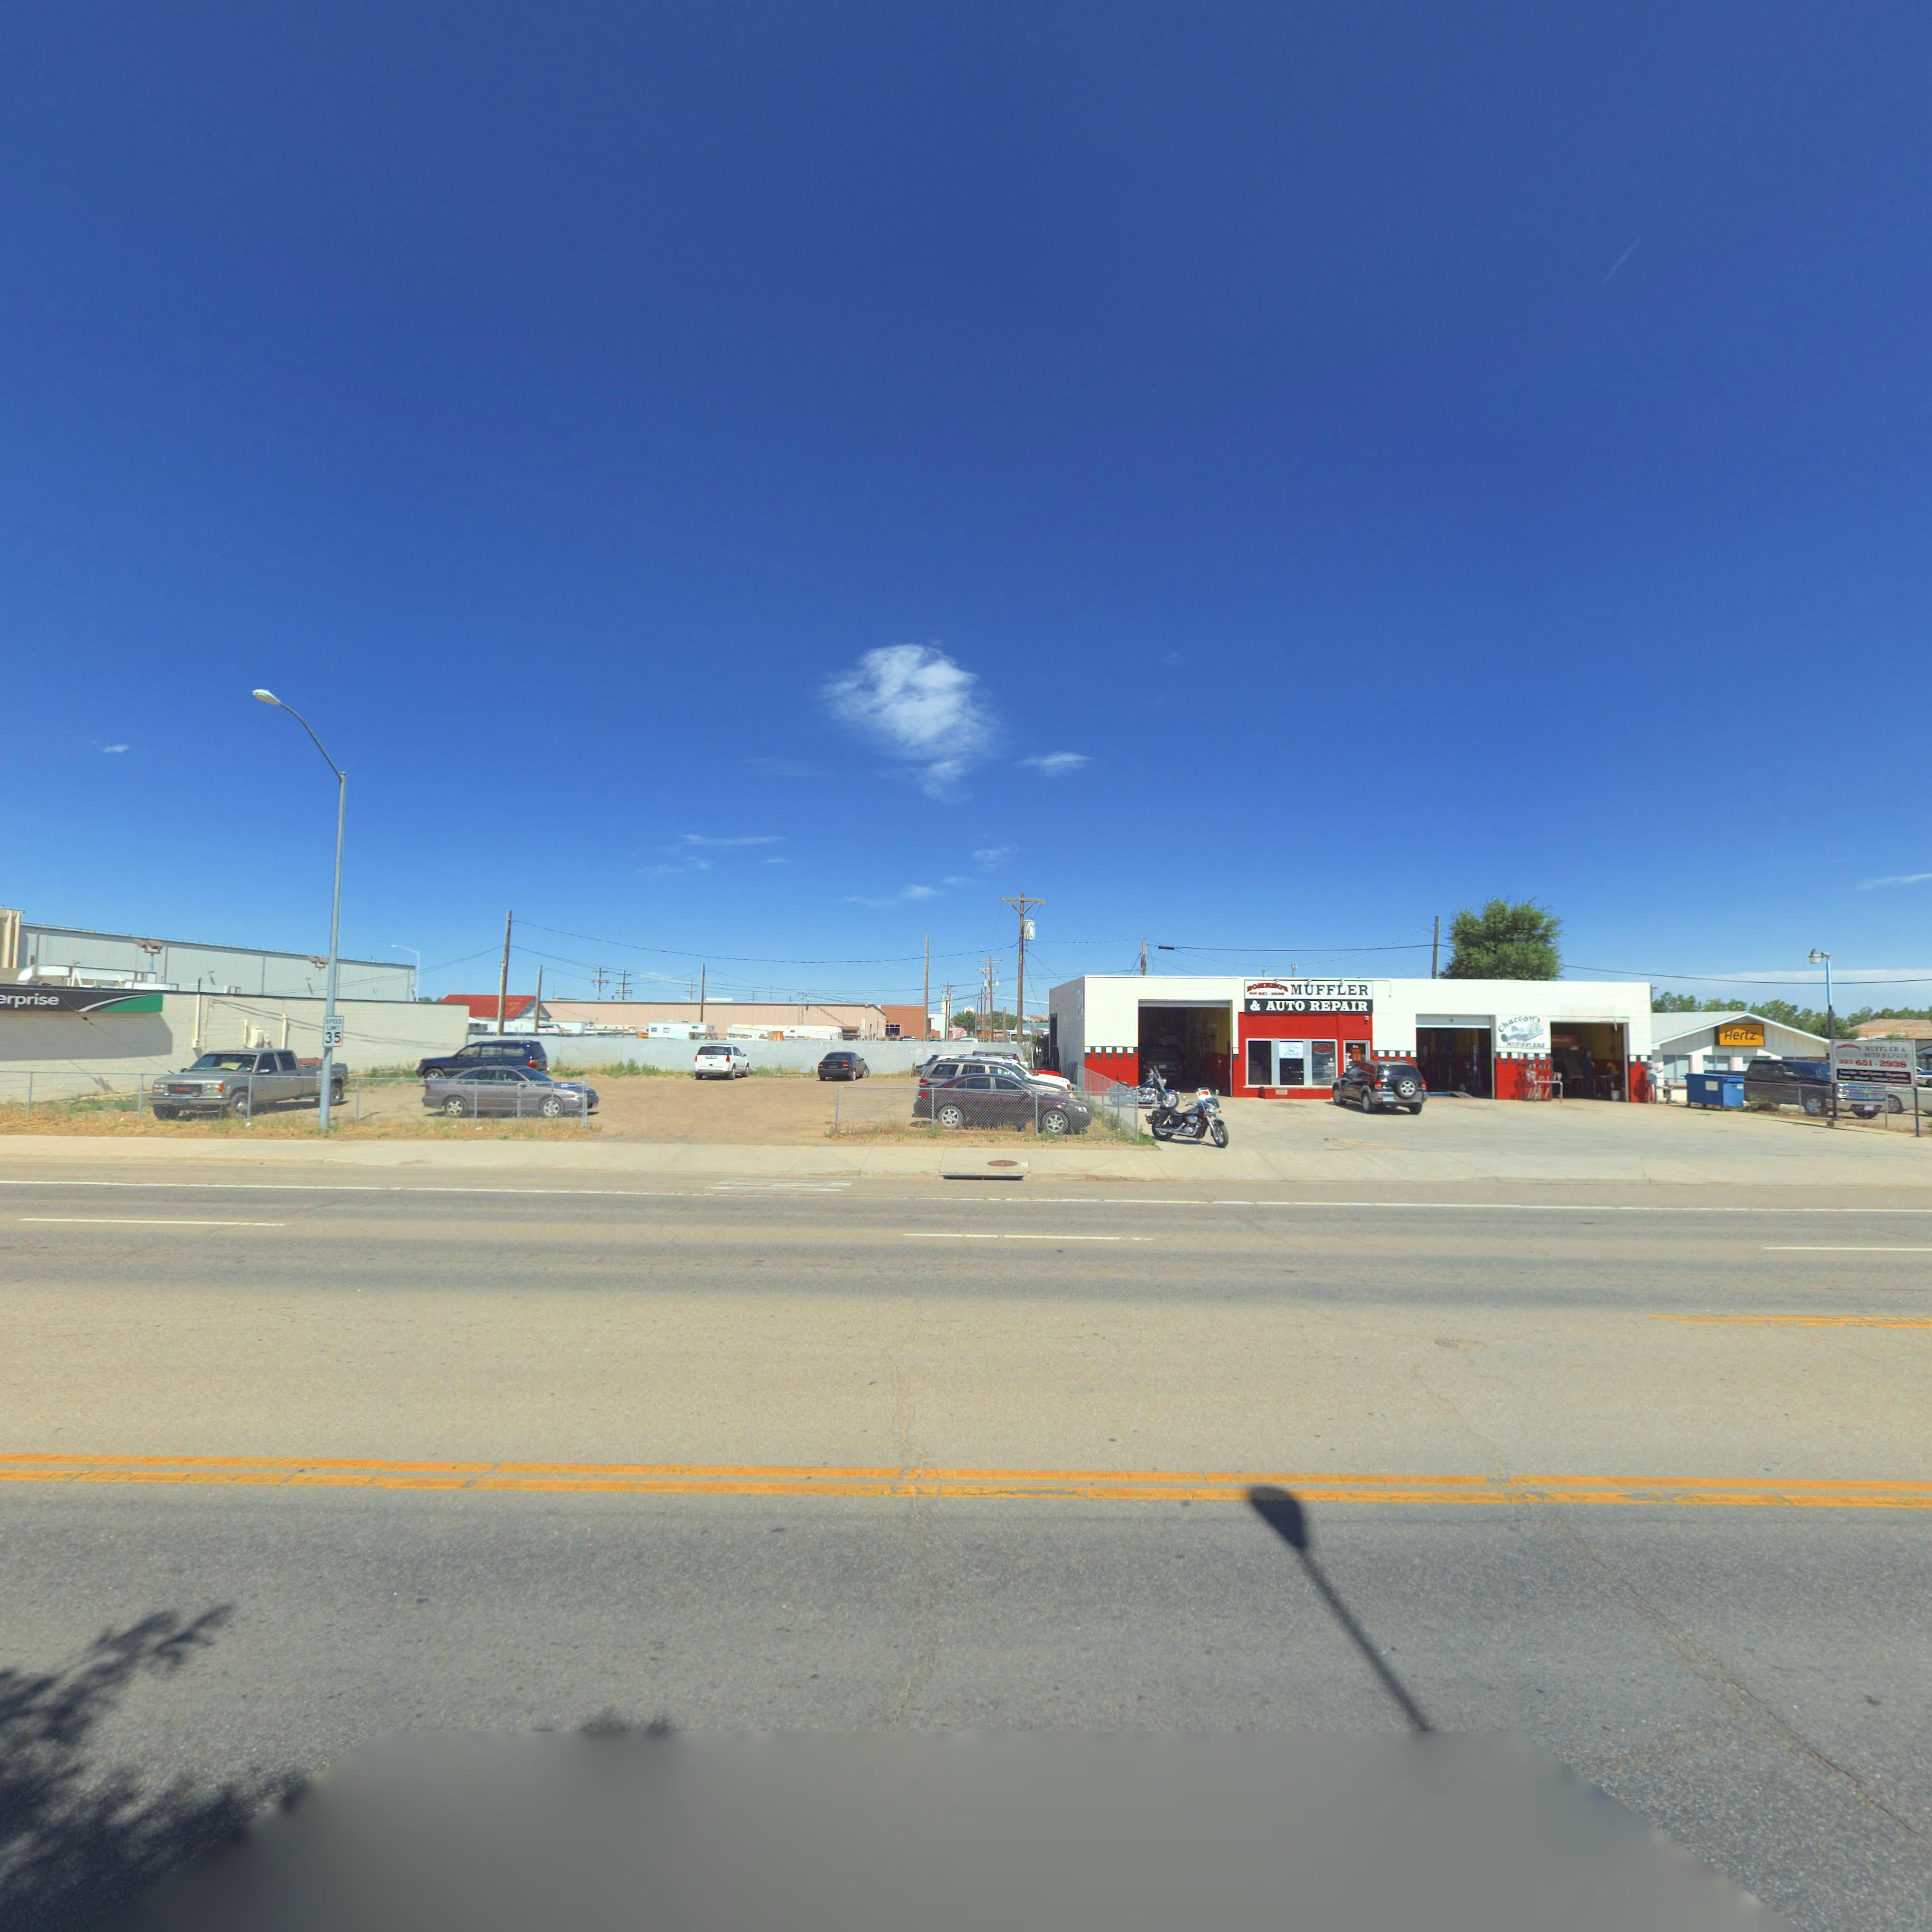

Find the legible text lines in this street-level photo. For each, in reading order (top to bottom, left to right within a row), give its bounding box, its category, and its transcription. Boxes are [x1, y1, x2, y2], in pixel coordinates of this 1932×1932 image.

[1246, 982, 1288, 993] BusinessName: RO***O*
[1290, 984, 1368, 995] BusinessName: MUFFLER
[7, 993, 60, 1008] BusinessName: rprise
[1249, 999, 1368, 1011] BusinessName: & AUTO REPAIR
[1497, 1015, 1541, 1033] BusinessName: Chacoon's
[1723, 1030, 1757, 1040] BusinessName: Hertz
[1506, 1041, 1546, 1048] BusinessName: MUF*FFLERS
[1864, 1045, 1899, 1052] BusinessName: *UFFLER
[1863, 1052, 1909, 1059] BusinessName: *UTO REPAIR